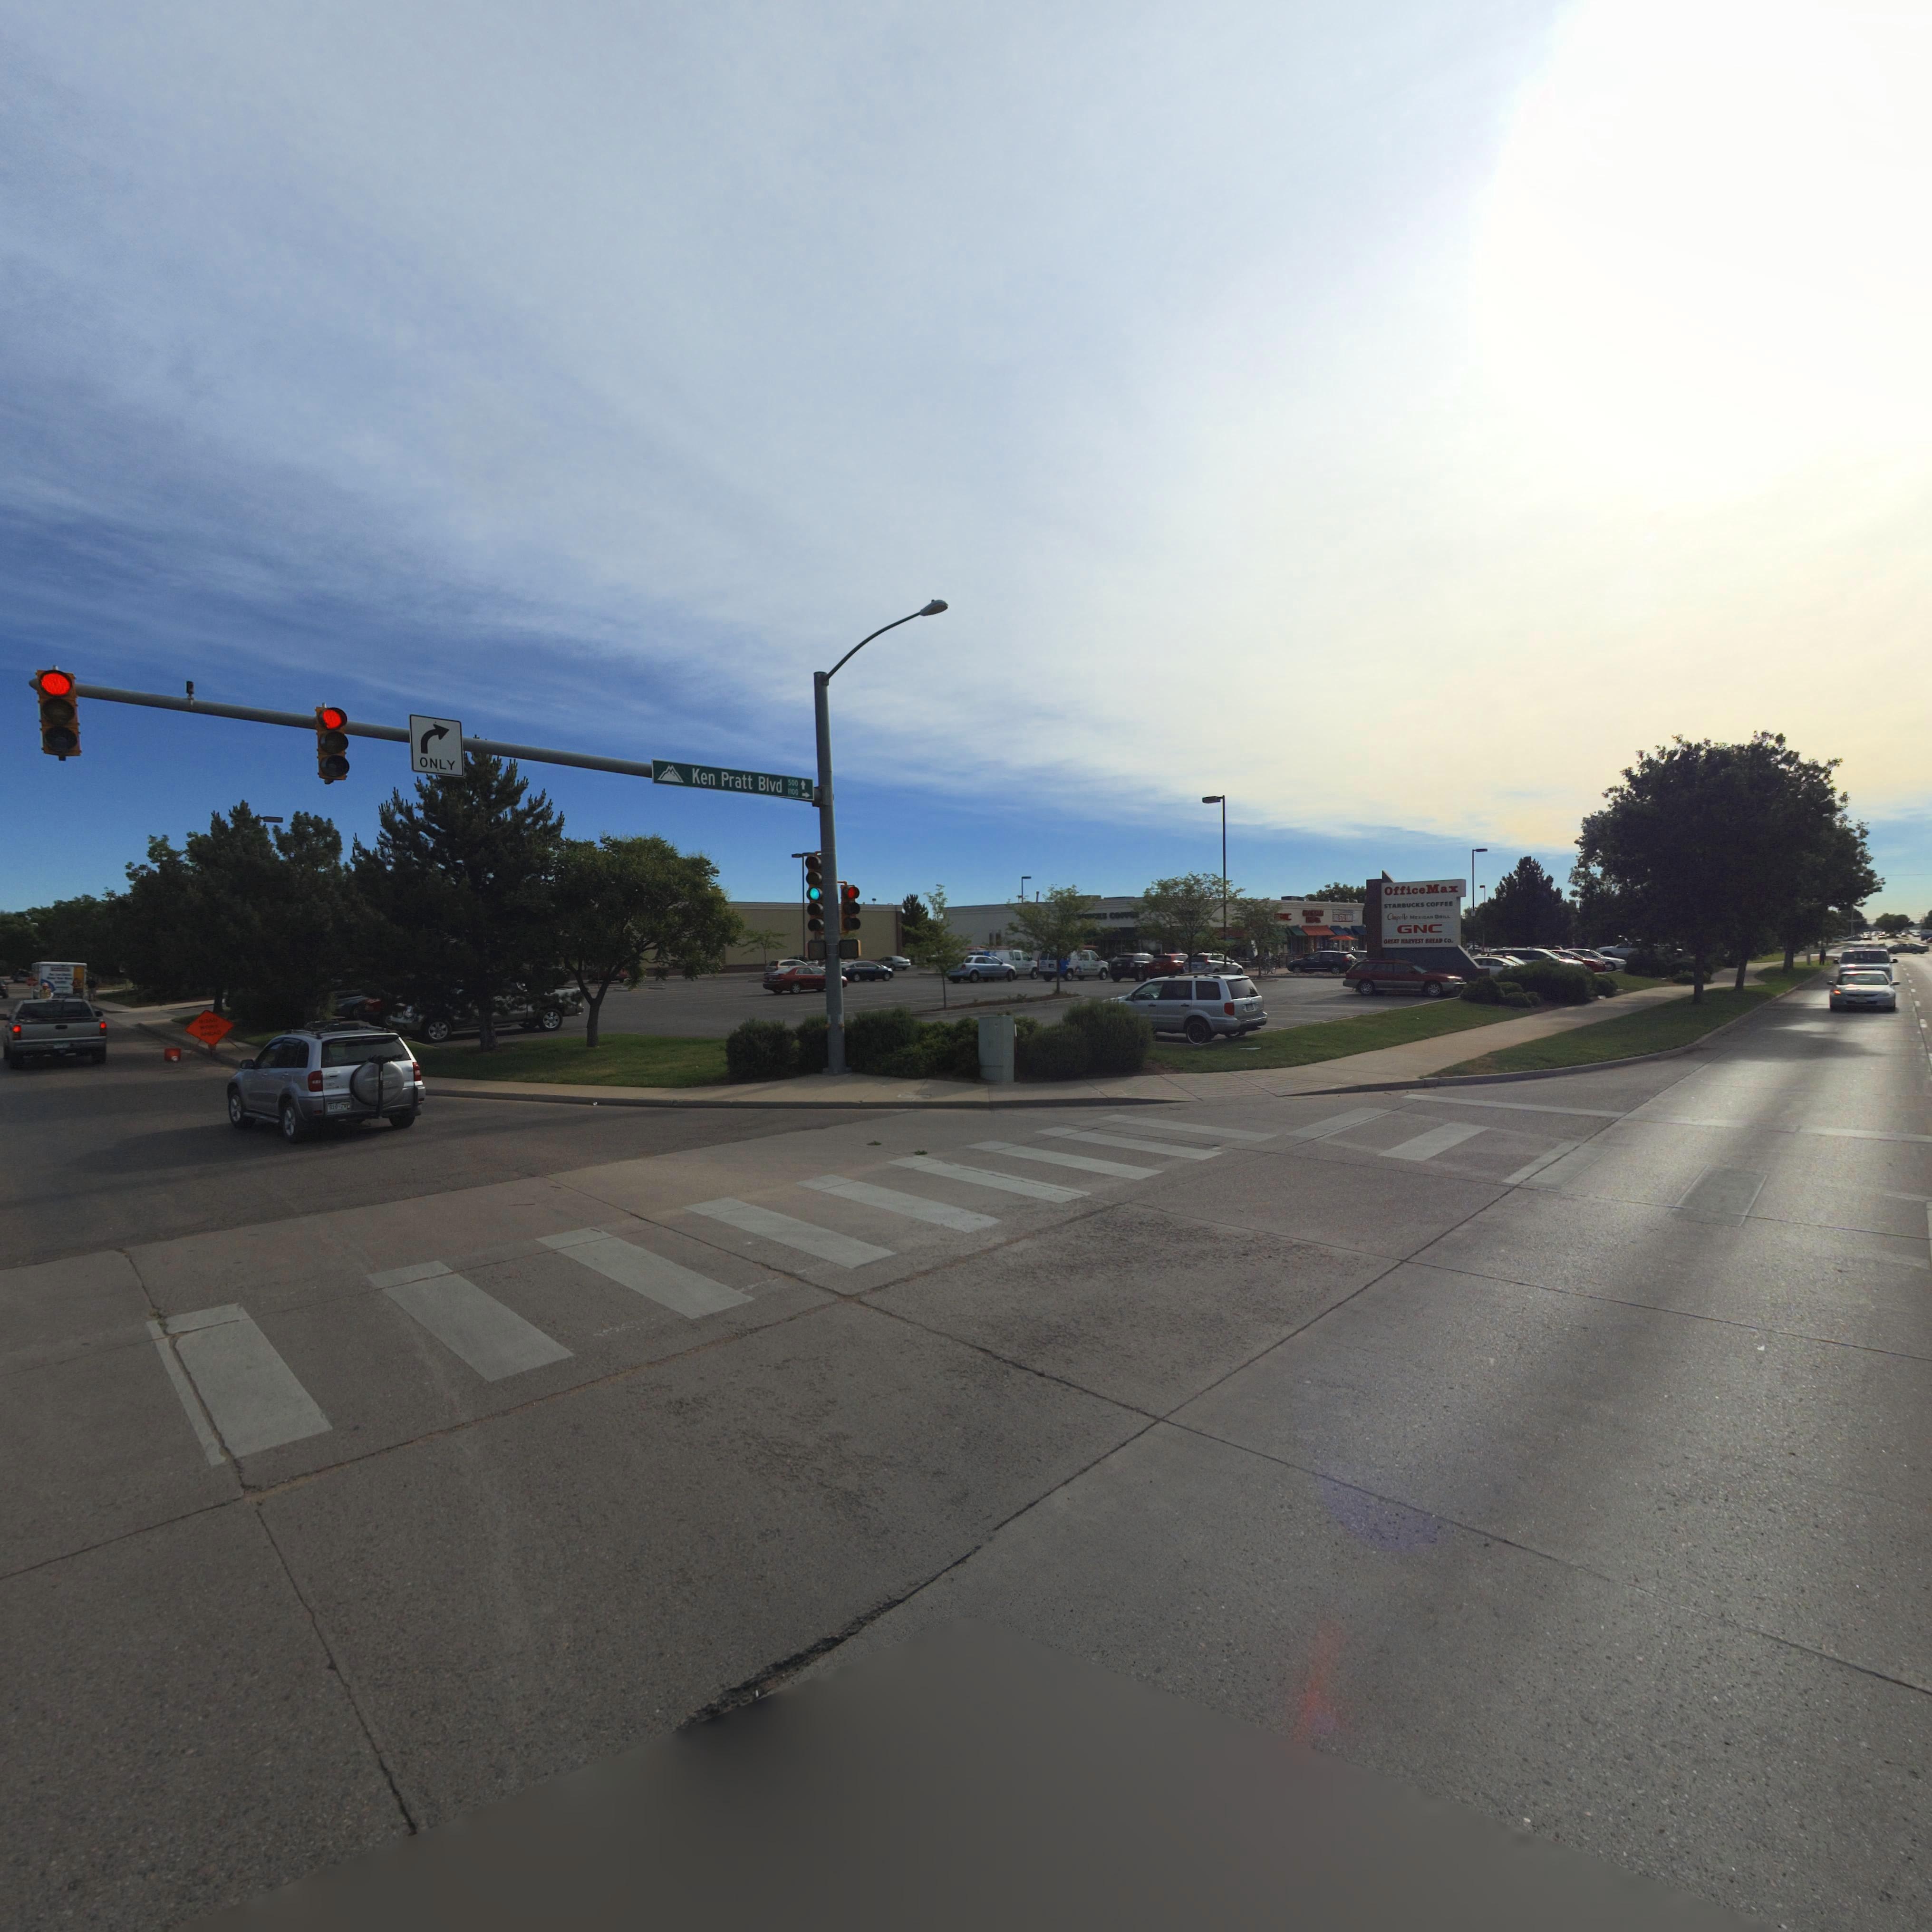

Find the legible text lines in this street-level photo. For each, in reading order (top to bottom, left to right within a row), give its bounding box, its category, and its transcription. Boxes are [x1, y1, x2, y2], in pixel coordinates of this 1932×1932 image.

[691, 767, 782, 793] StreetName: Ken Pratt Blvd
[787, 779, 798, 786] StreetNumberRange: 500
[787, 787, 811, 798] StreetNumberRange: 1100->
[1383, 883, 1459, 896] BusinessName: Office Max
[1383, 900, 1453, 909] BusinessName: STARBUCKS COFFEE
[1080, 910, 1140, 920] BusinessName: **CKS CO****
[1273, 912, 1292, 920] BusinessName: **C
[1387, 912, 1450, 923] BusinessName: Chipotle MEXICAN GRILL
[1397, 923, 1443, 934] BusinessName: GNC
[1382, 937, 1454, 944] BusinessName: **EAT HARVEST BREAD CO.